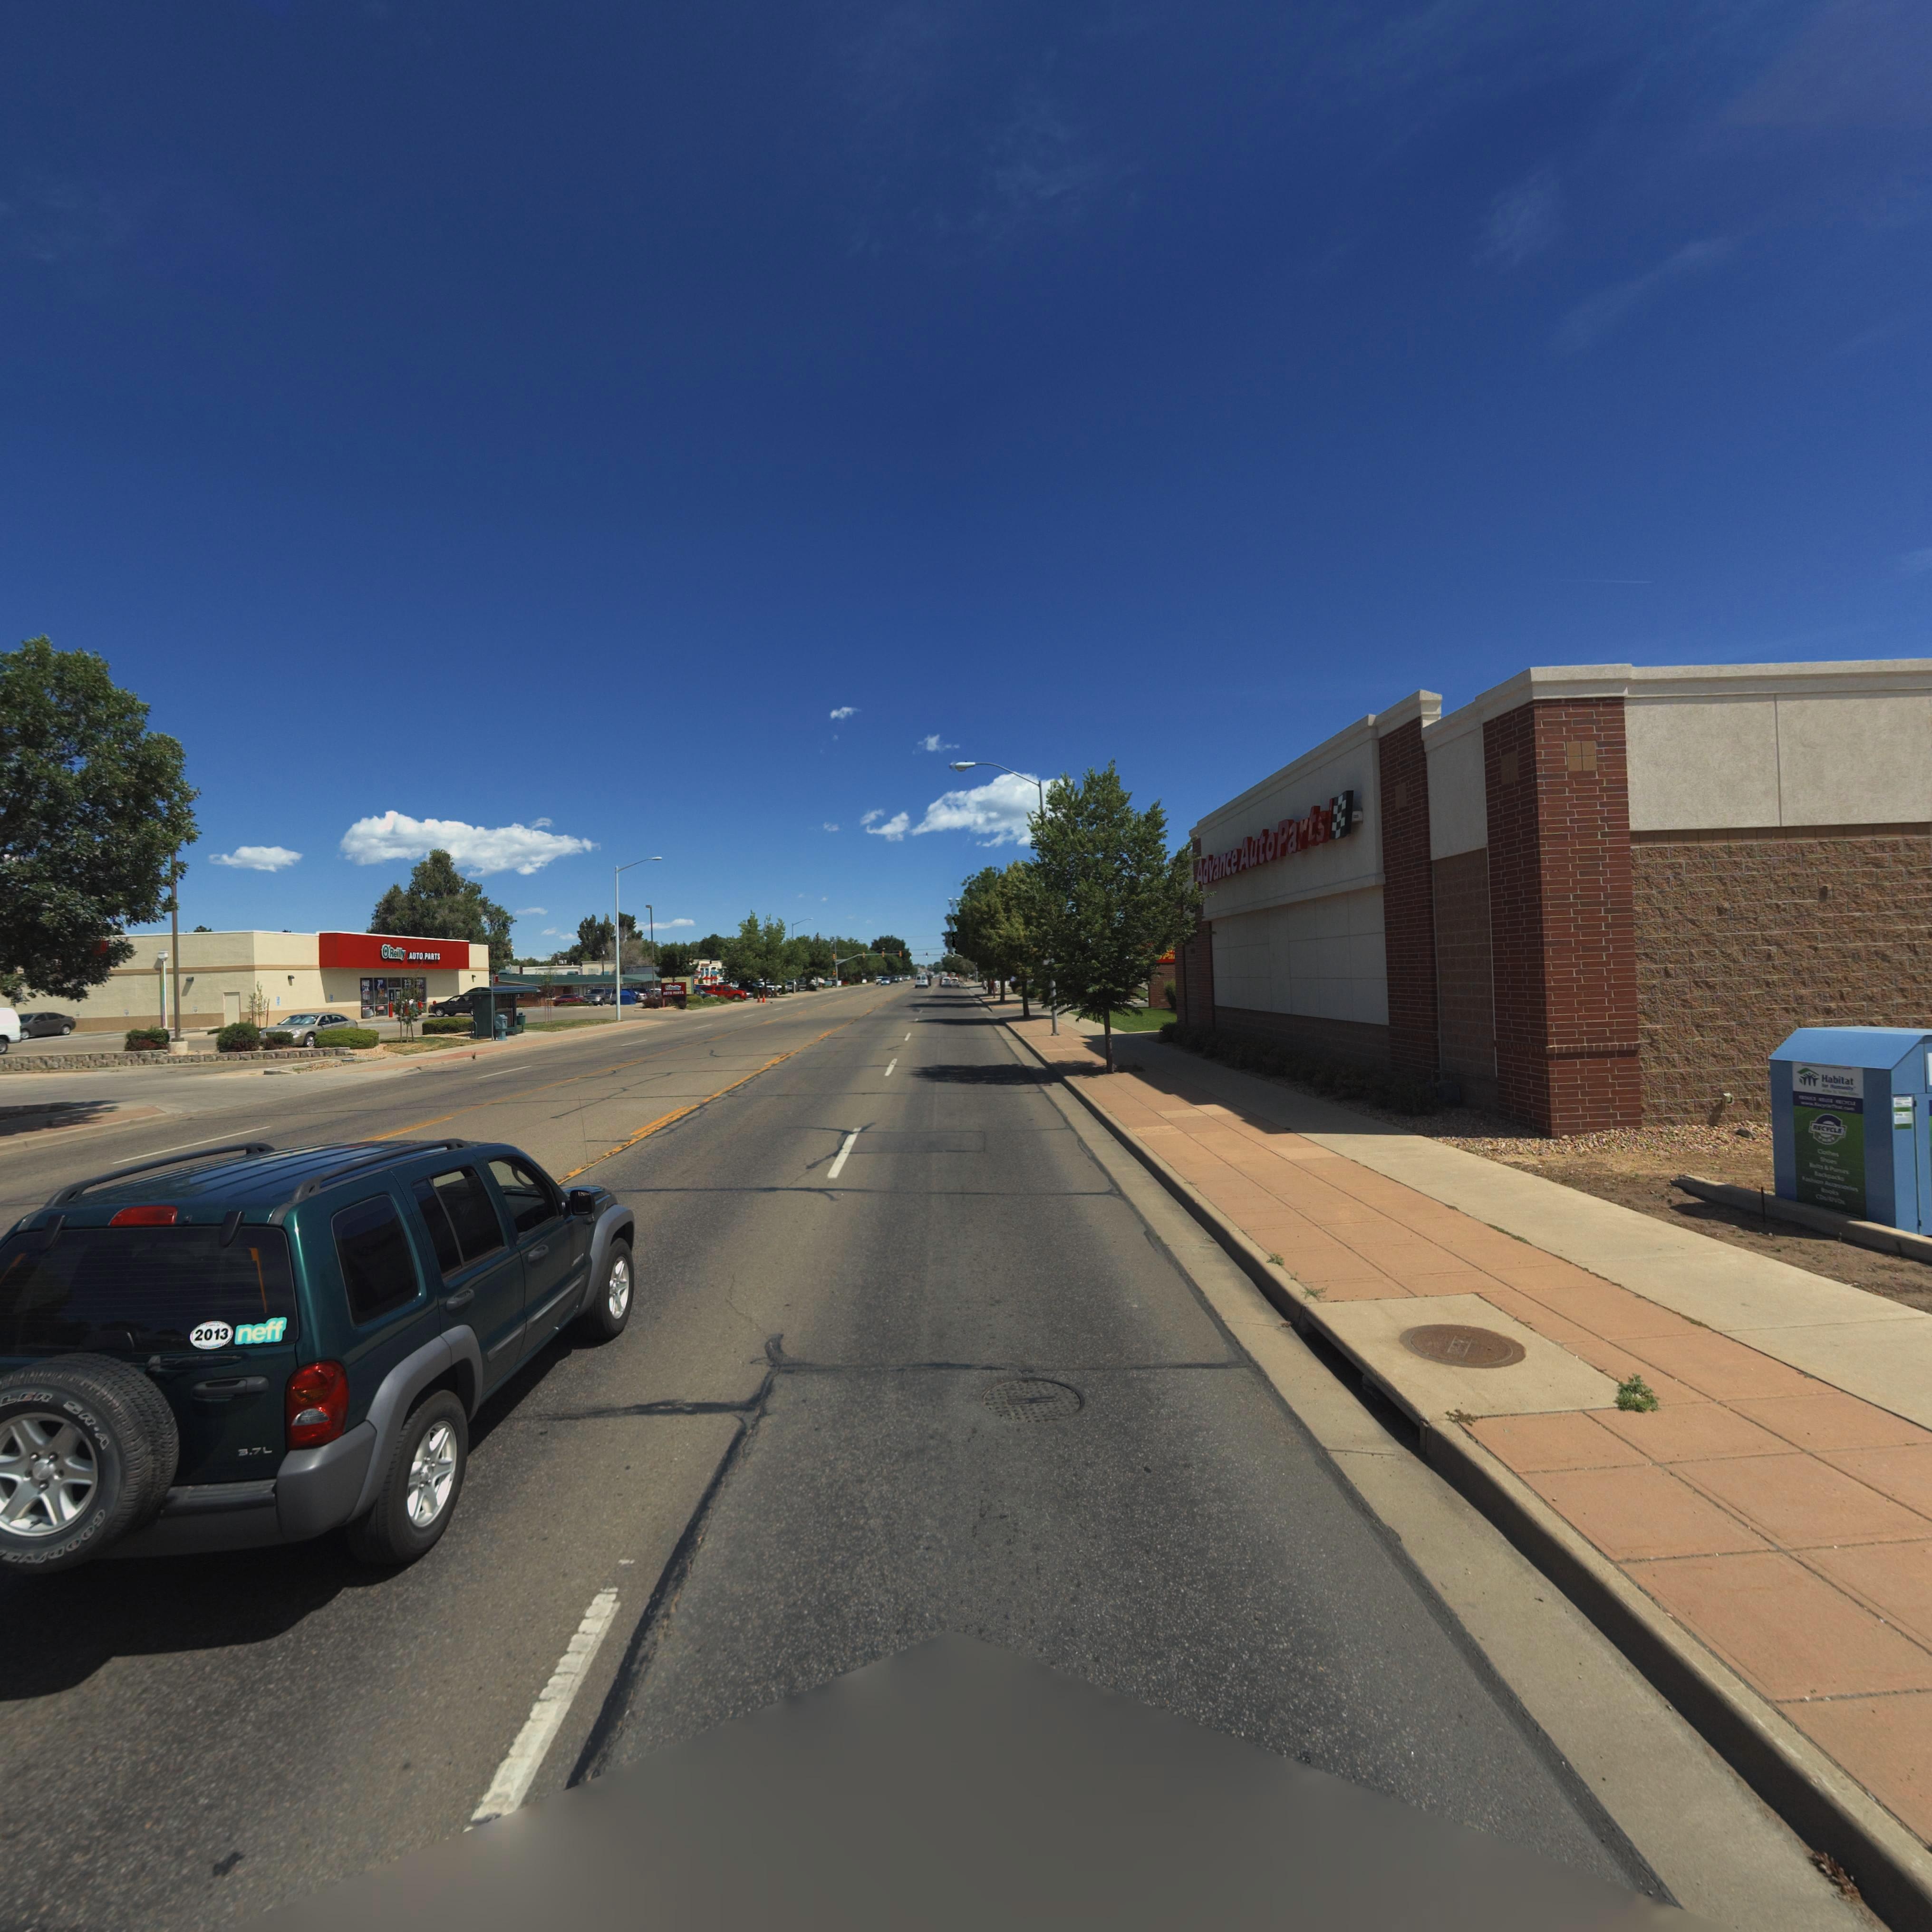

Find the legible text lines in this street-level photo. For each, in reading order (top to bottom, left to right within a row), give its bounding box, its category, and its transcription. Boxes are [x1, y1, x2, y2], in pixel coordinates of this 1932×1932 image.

[1195, 804, 1330, 887] BusinessName: AdvanceAutoParts
[381, 944, 440, 960] BusinessName: *'Reilly AUTO PARTS
[1162, 952, 1173, 959] BusinessName: Pa
[663, 990, 684, 995] BusinessName: **TO P**TS